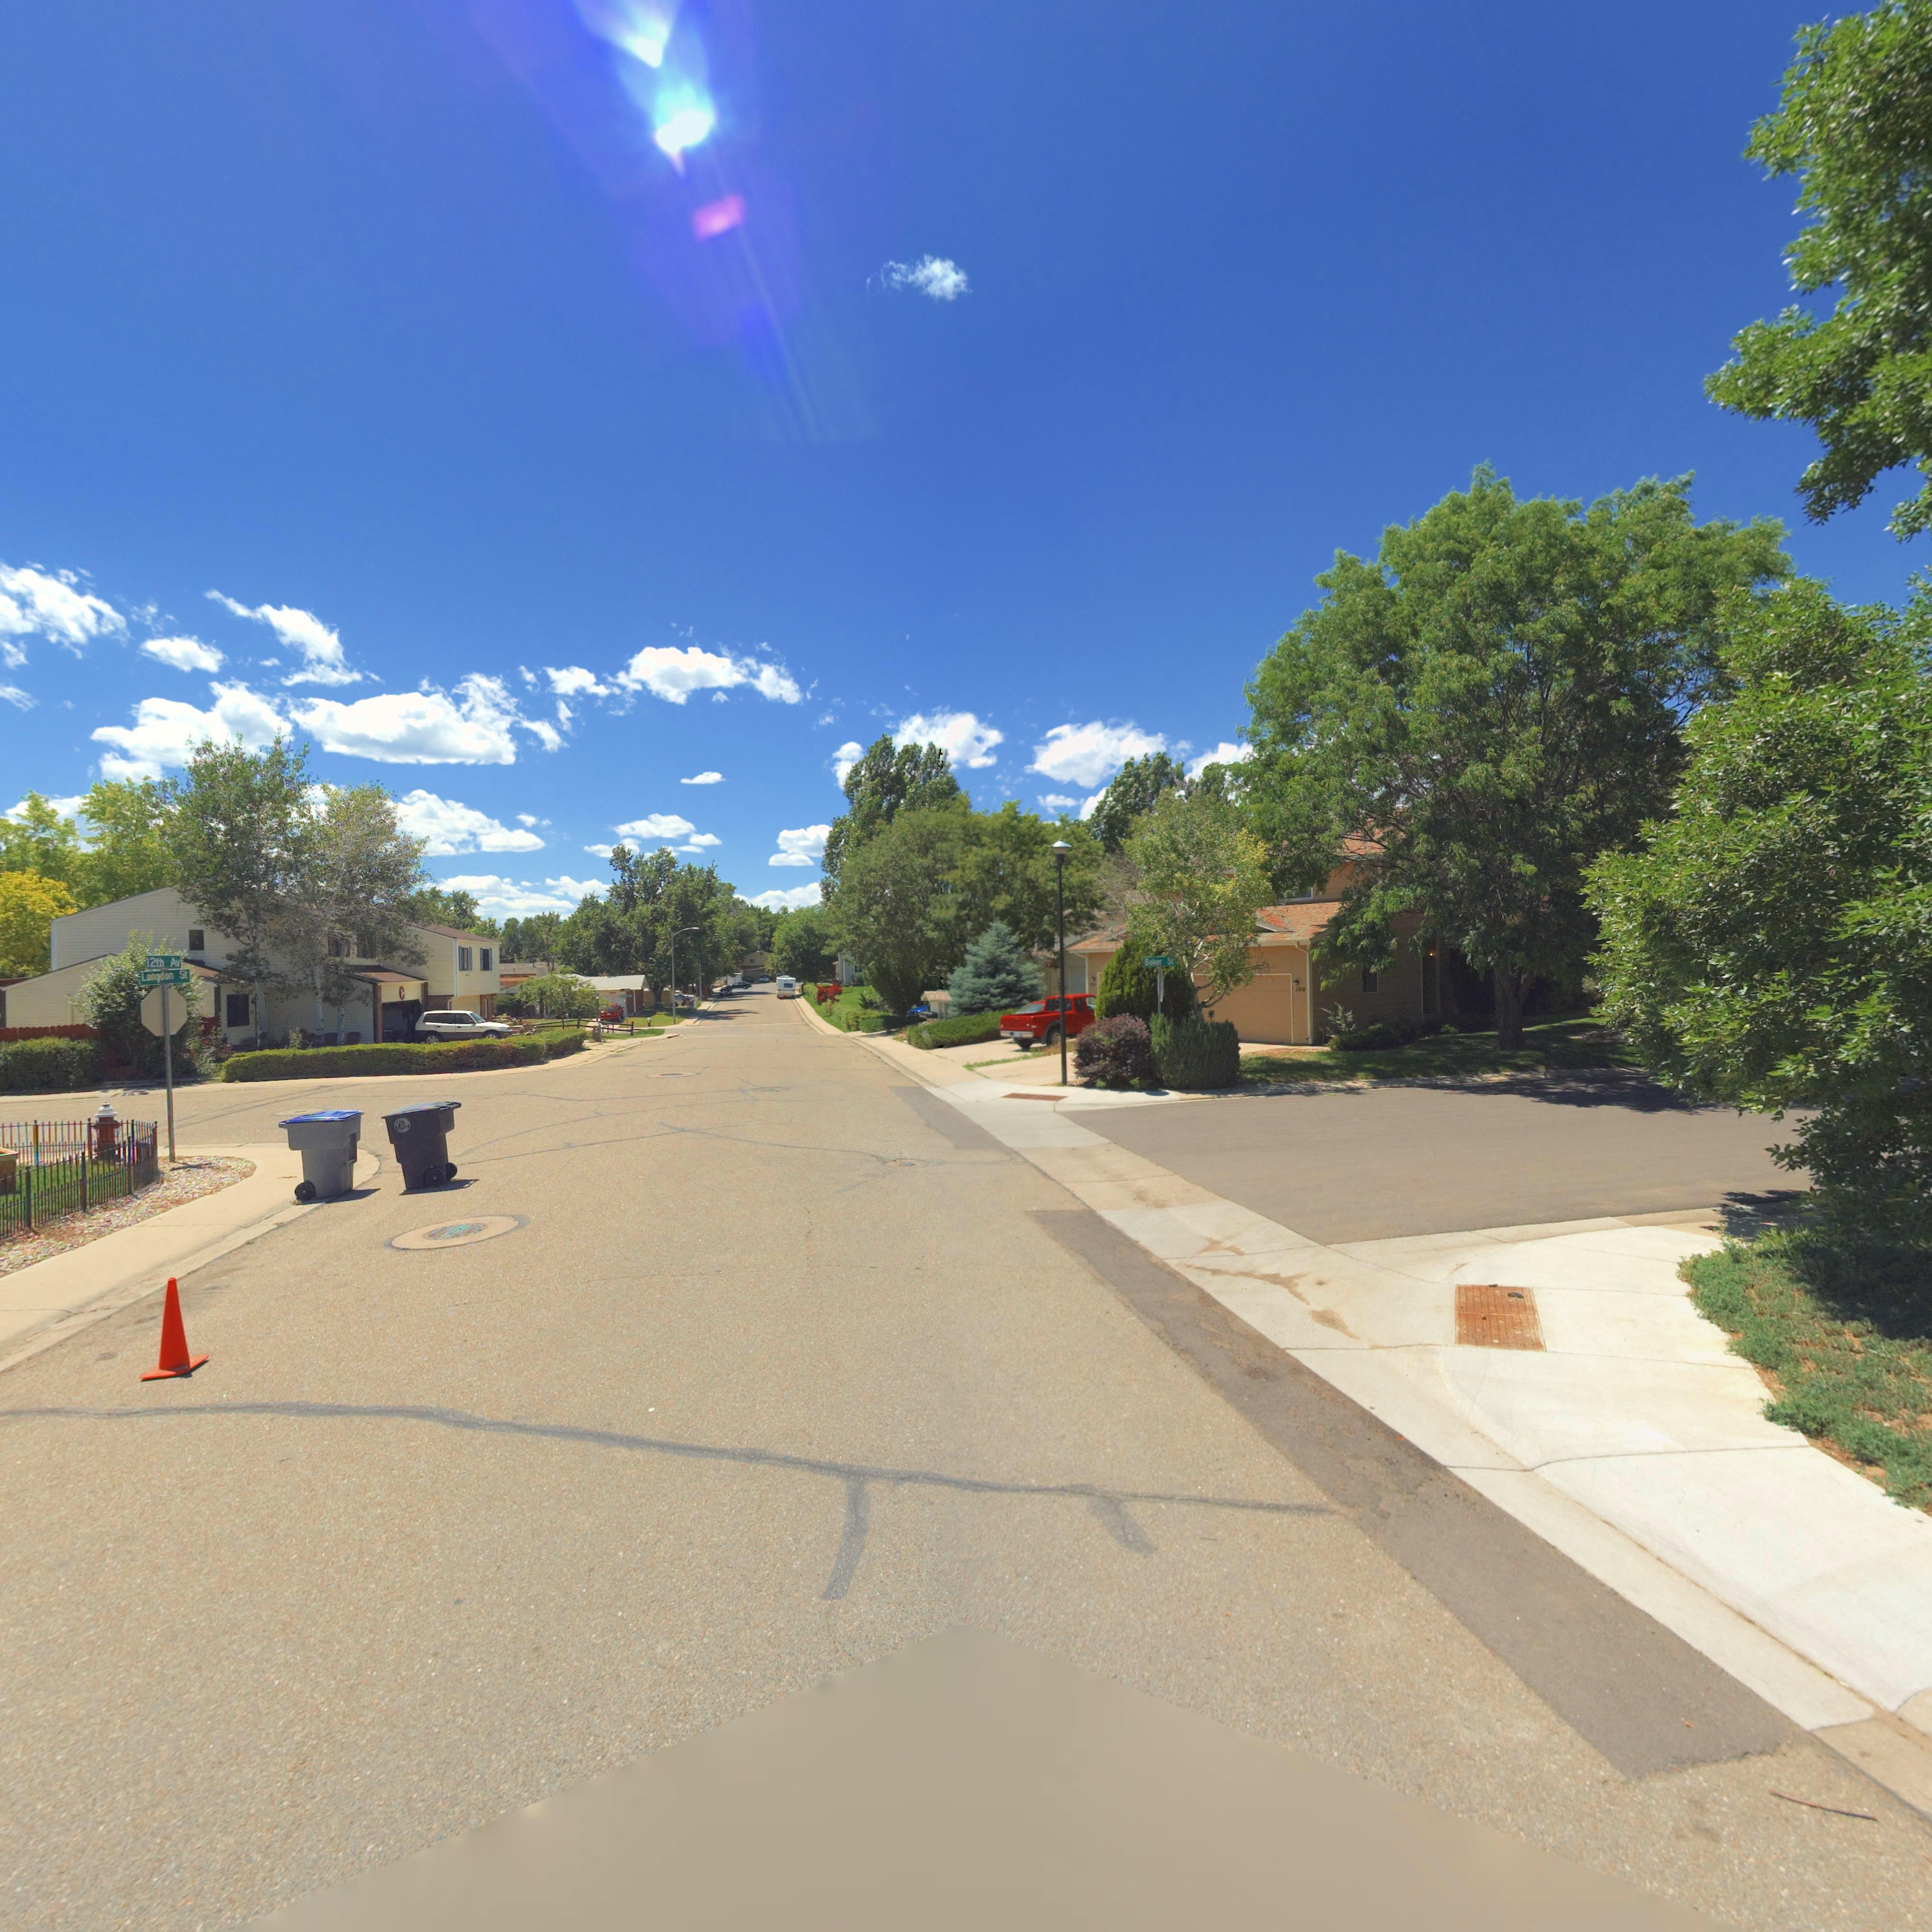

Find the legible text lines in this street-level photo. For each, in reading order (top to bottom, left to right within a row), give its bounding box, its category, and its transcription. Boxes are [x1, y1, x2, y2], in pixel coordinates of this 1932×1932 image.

[145, 956, 181, 967] StreetName: 12th Av
[1144, 957, 1171, 966] StreetName: Baker S
[141, 969, 188, 984] StreetName: Longdon St
[1296, 986, 1306, 992] StreetNumber: 100